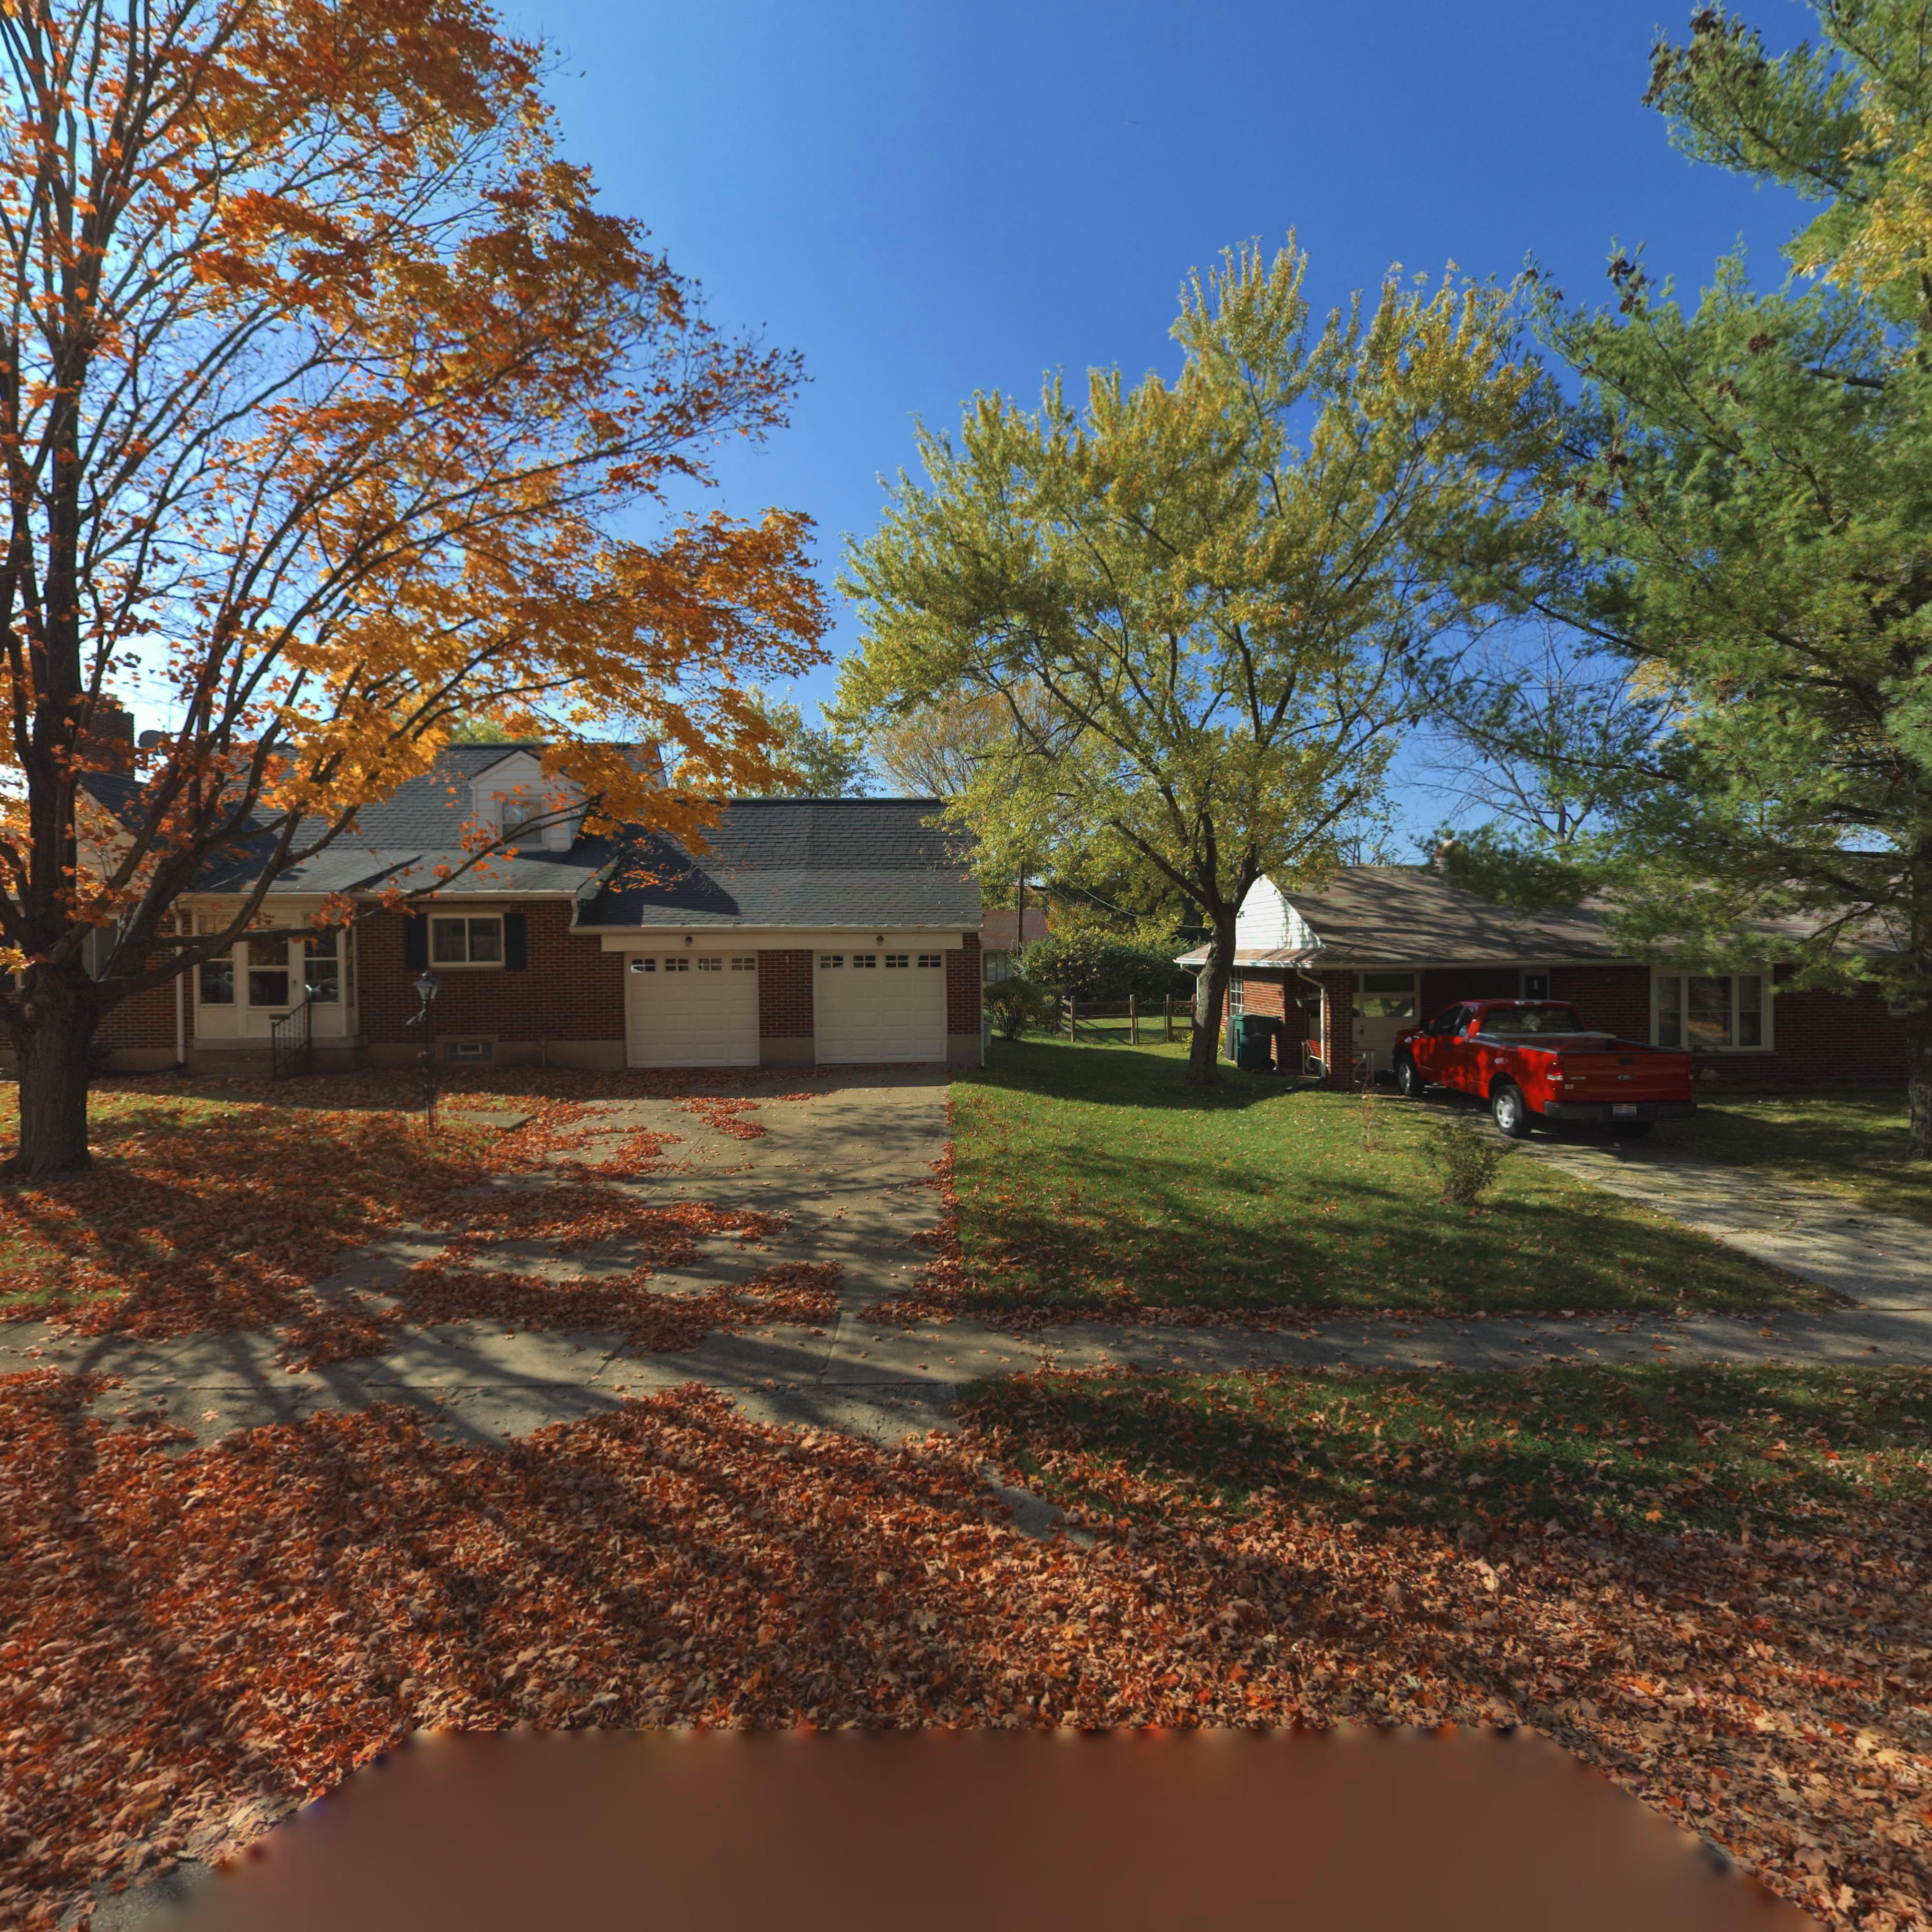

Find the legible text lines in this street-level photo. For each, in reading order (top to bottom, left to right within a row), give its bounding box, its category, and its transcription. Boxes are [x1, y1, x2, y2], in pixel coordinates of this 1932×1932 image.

[1604, 977, 1617, 983] StreetNumber: *917
[1623, 1106, 1636, 1114] None: 7684